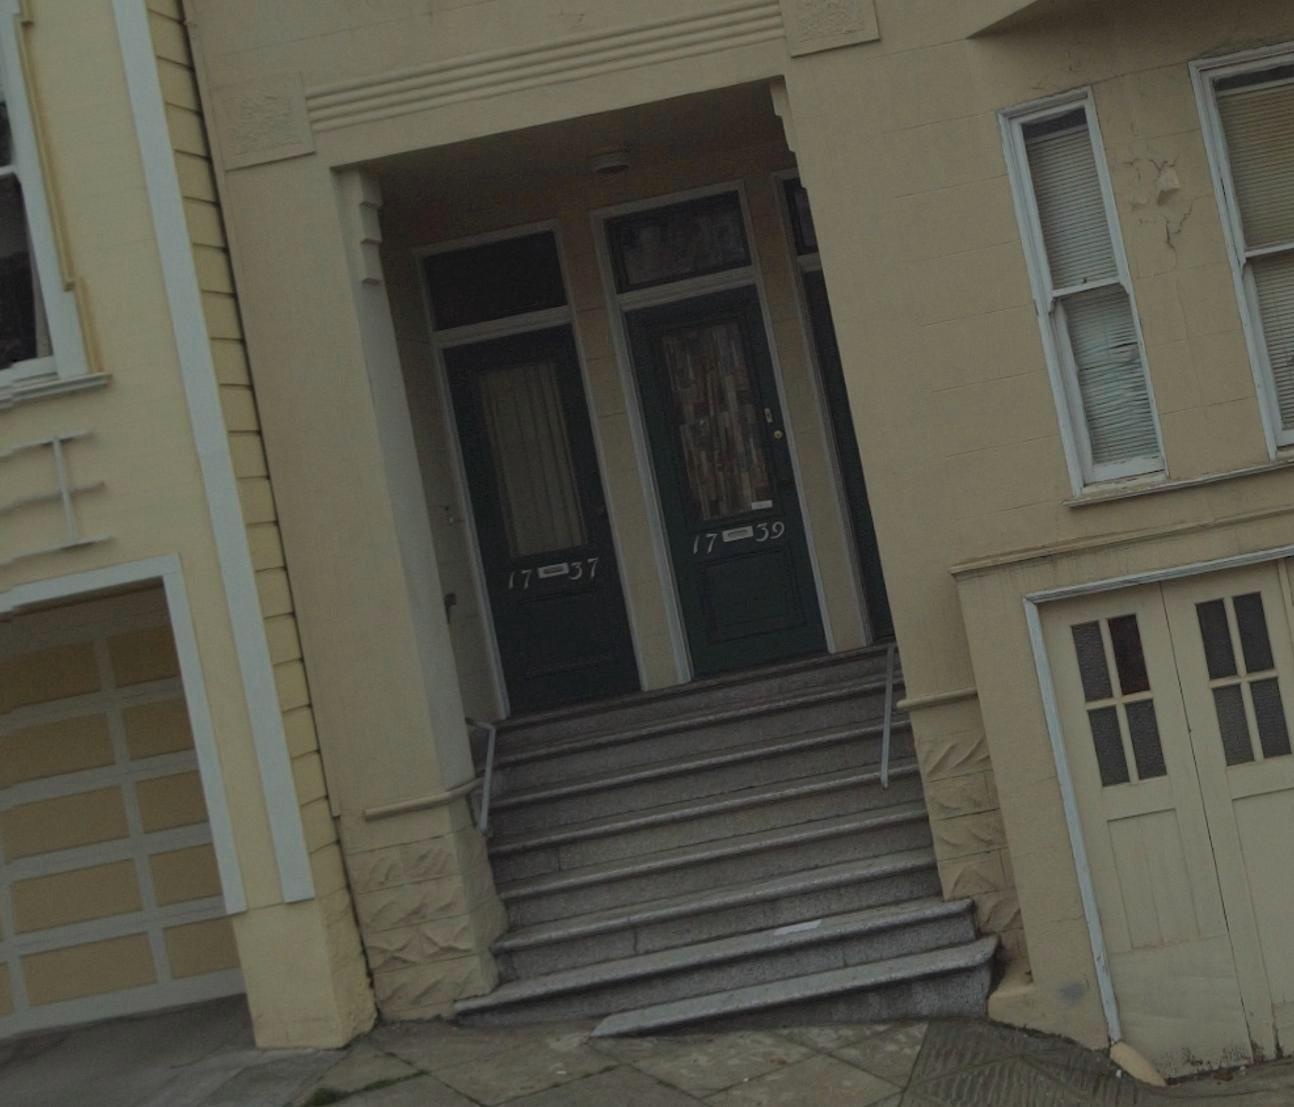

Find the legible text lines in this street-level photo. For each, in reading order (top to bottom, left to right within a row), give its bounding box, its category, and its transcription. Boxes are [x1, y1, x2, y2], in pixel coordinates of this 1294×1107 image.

[690, 517, 787, 558] StreetNumber: 17*39
[505, 554, 602, 594] StreetNumber: 17*37